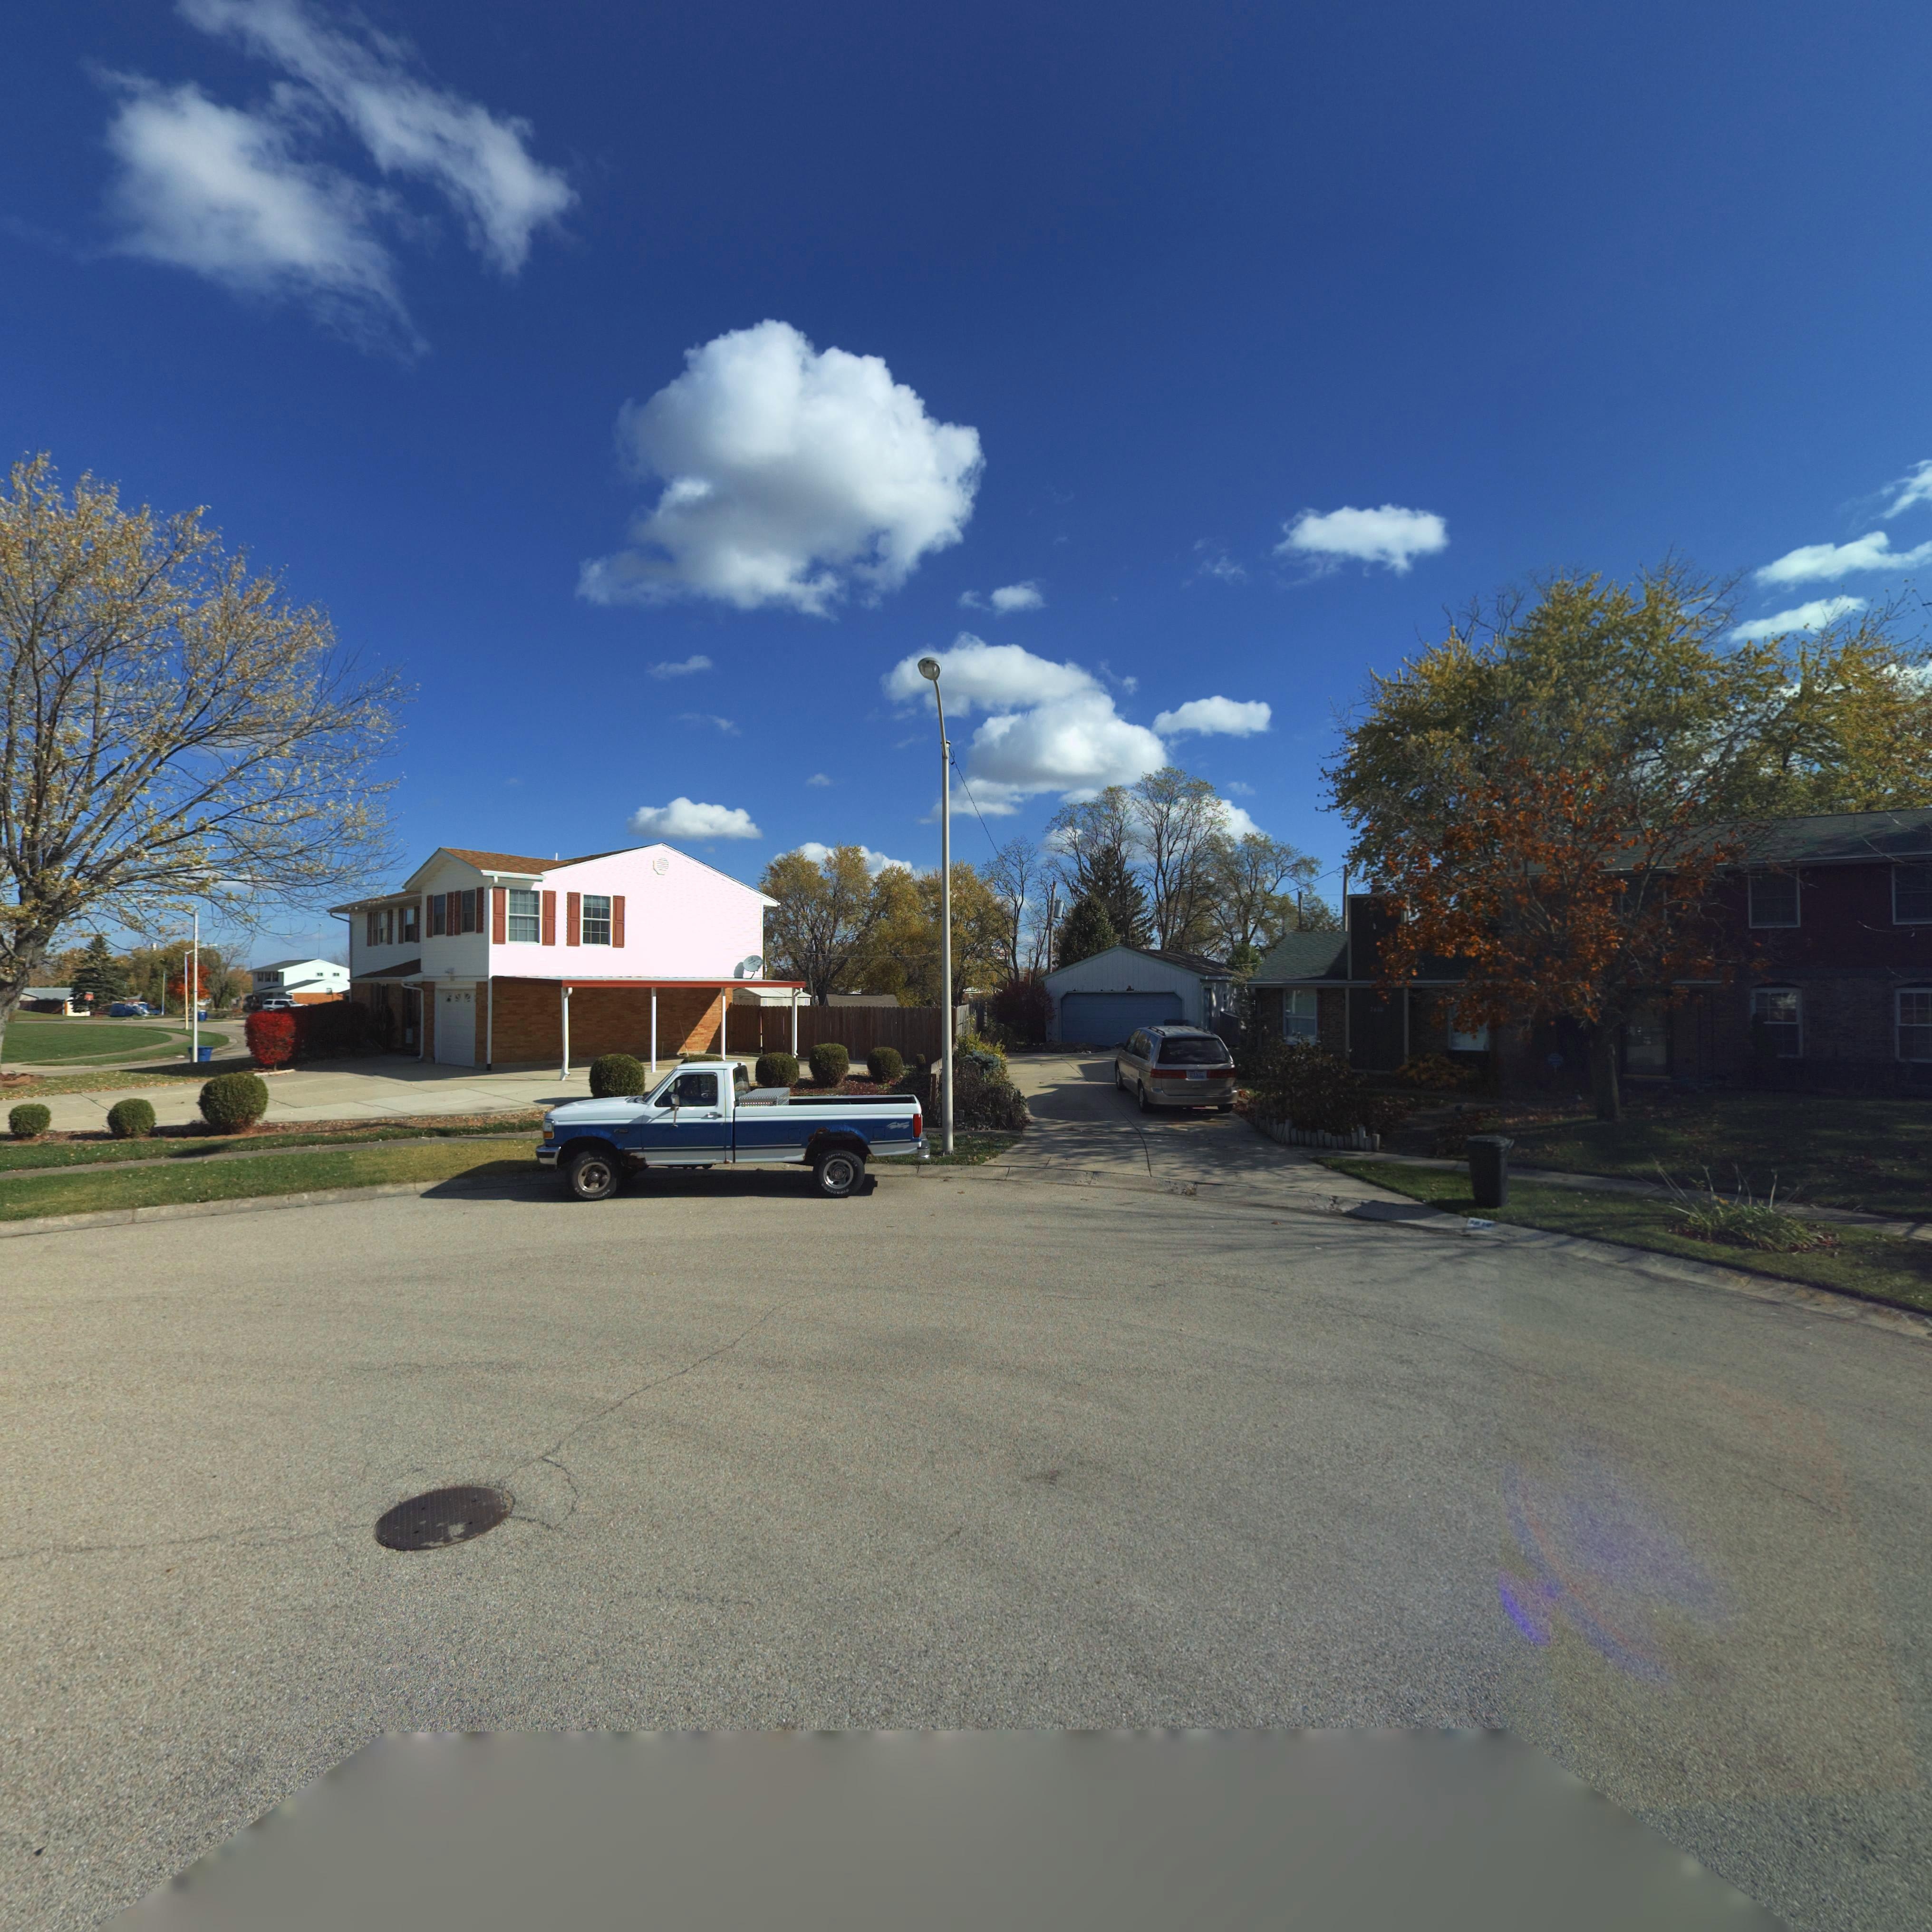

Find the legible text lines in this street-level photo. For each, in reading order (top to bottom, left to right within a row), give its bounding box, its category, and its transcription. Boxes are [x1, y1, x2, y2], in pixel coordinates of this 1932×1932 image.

[1370, 1005, 1385, 1014] StreetNumber: 7*10